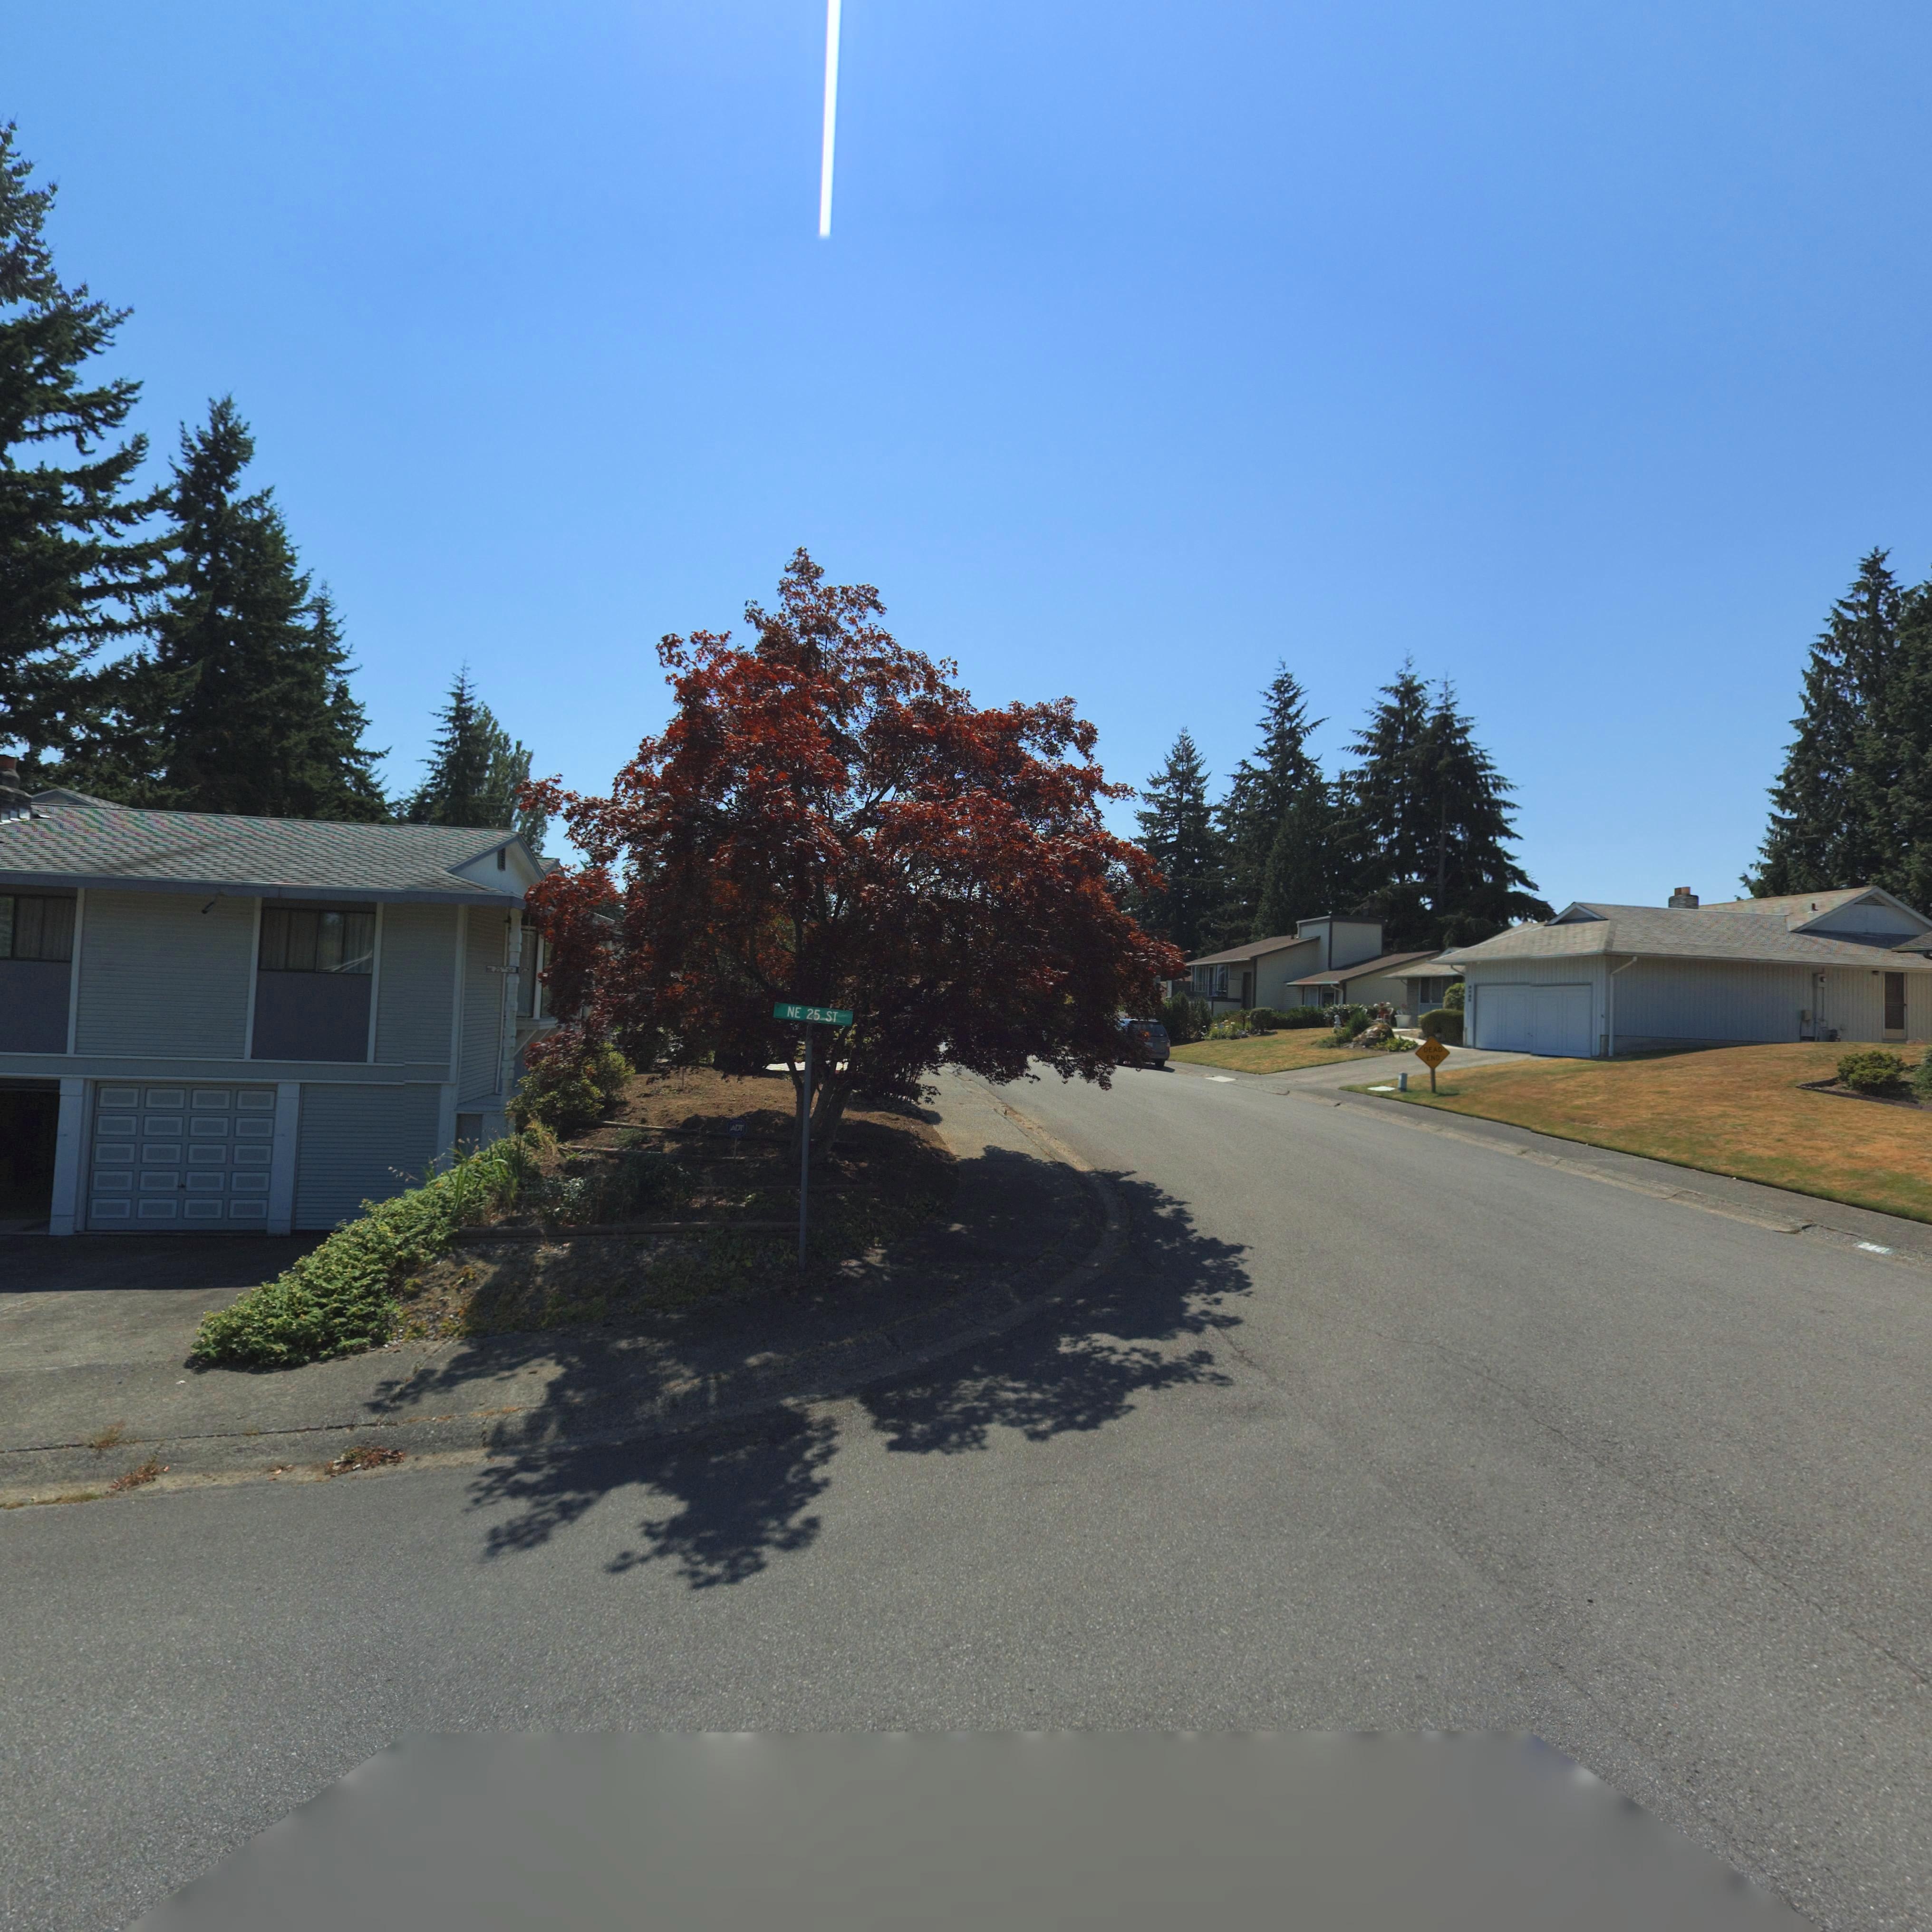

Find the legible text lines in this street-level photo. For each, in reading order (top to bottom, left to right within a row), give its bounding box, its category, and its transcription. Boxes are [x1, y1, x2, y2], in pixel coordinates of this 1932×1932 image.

[494, 966, 502, 972] StreetName: 25
[787, 1006, 838, 1022] StreetName: NE 25 ST
[1858, 1242, 1889, 1254] StreetNumber: 2441